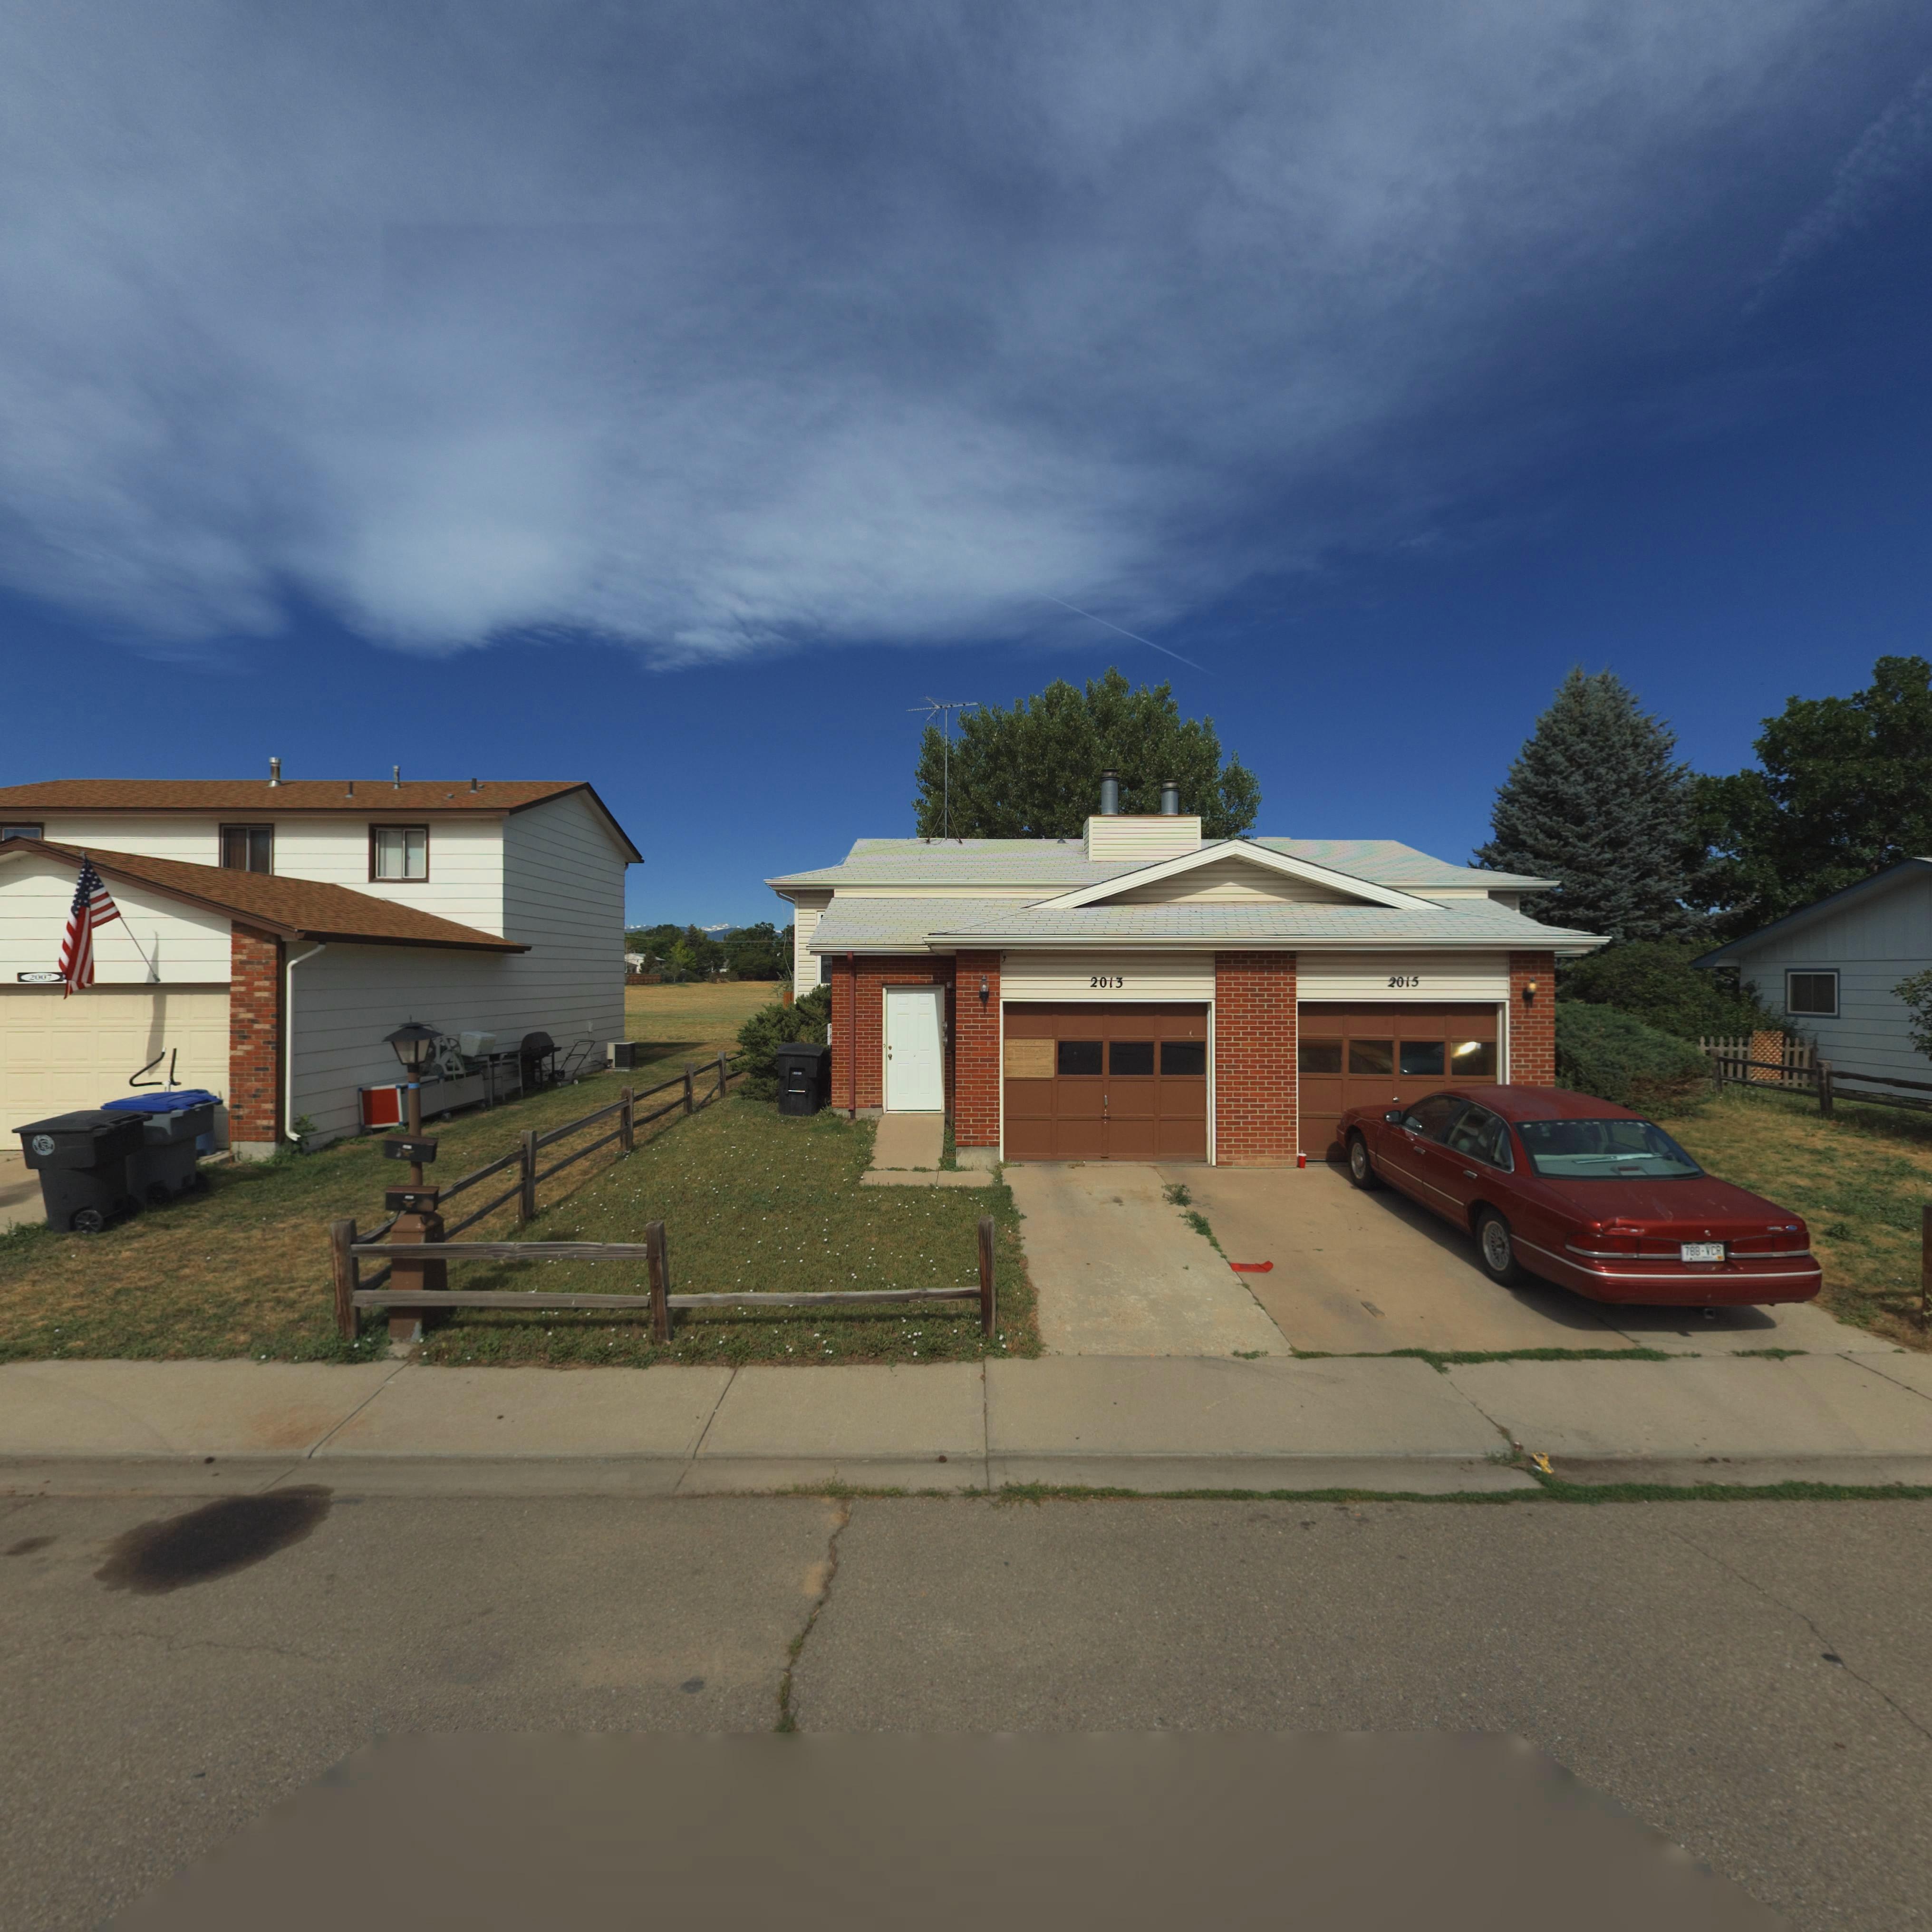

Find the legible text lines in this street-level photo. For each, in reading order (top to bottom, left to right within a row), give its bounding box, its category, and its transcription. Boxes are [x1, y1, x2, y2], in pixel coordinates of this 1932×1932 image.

[29, 974, 52, 981] StreetNumber: 2007
[1387, 975, 1419, 987] StreetNumber: 2015